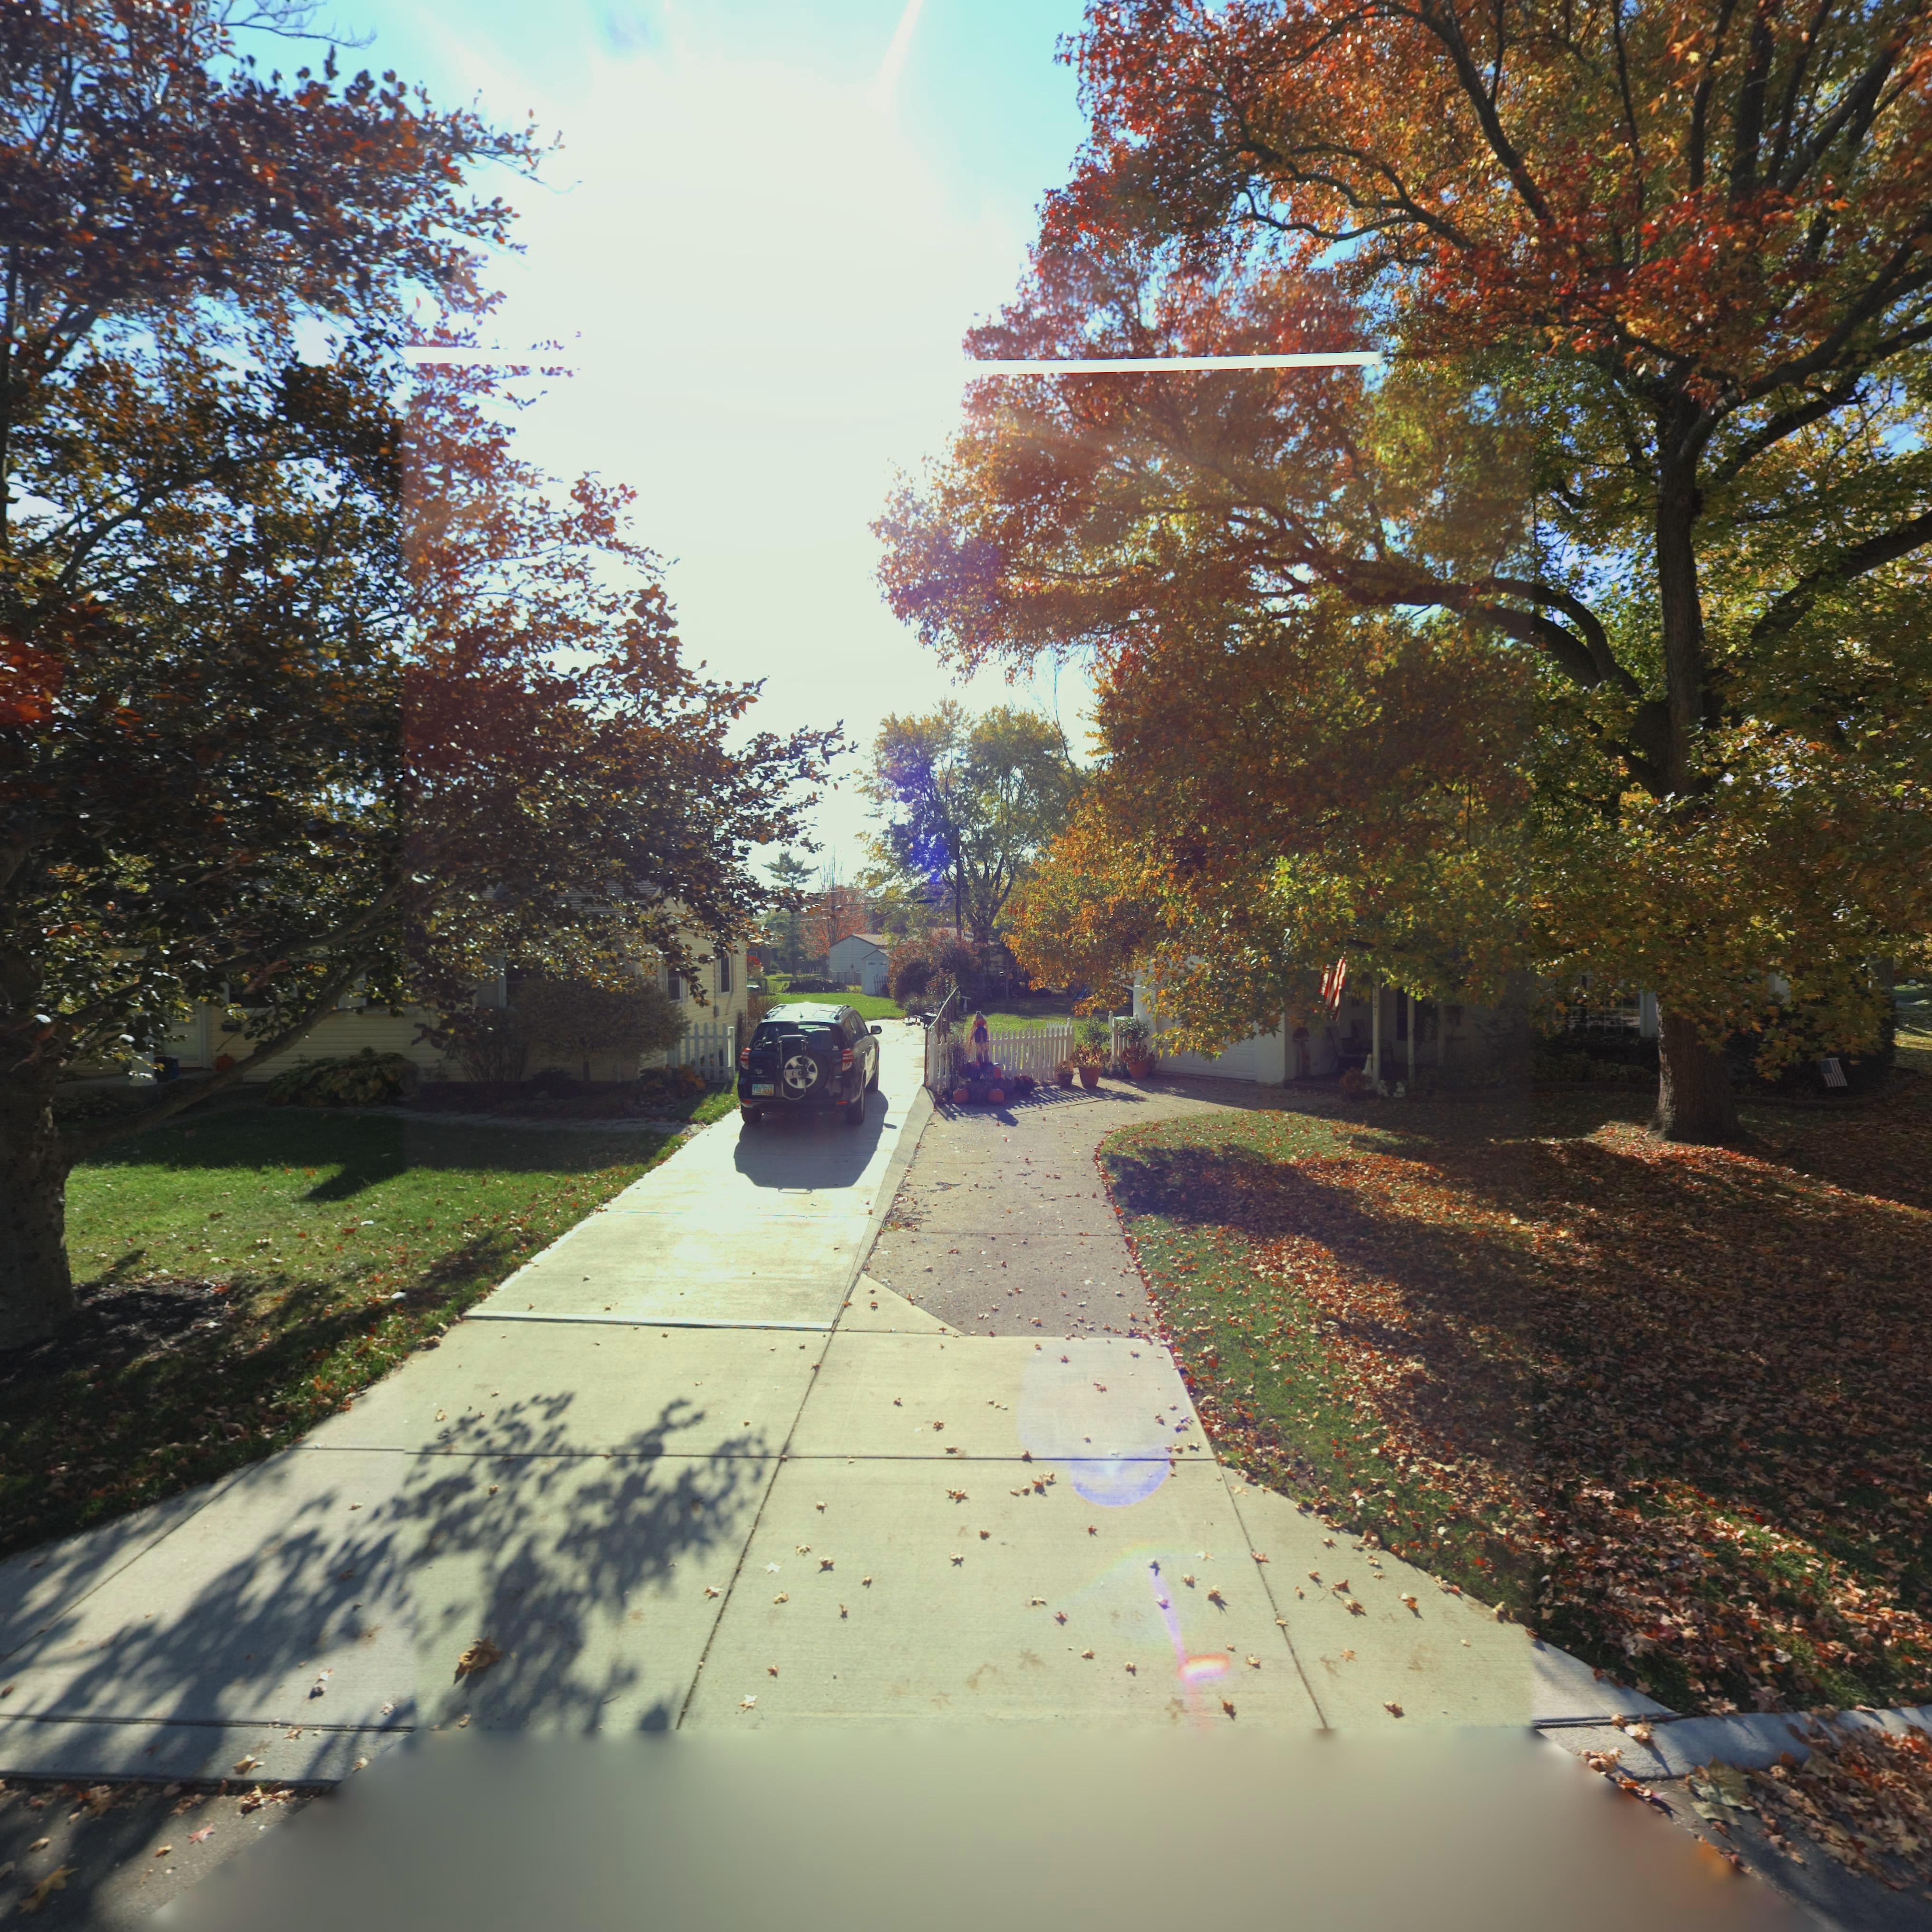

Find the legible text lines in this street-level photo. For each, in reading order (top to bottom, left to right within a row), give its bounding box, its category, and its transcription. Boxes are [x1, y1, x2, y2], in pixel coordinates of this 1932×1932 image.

[1372, 987, 1378, 1015] StreetNumber: 3801